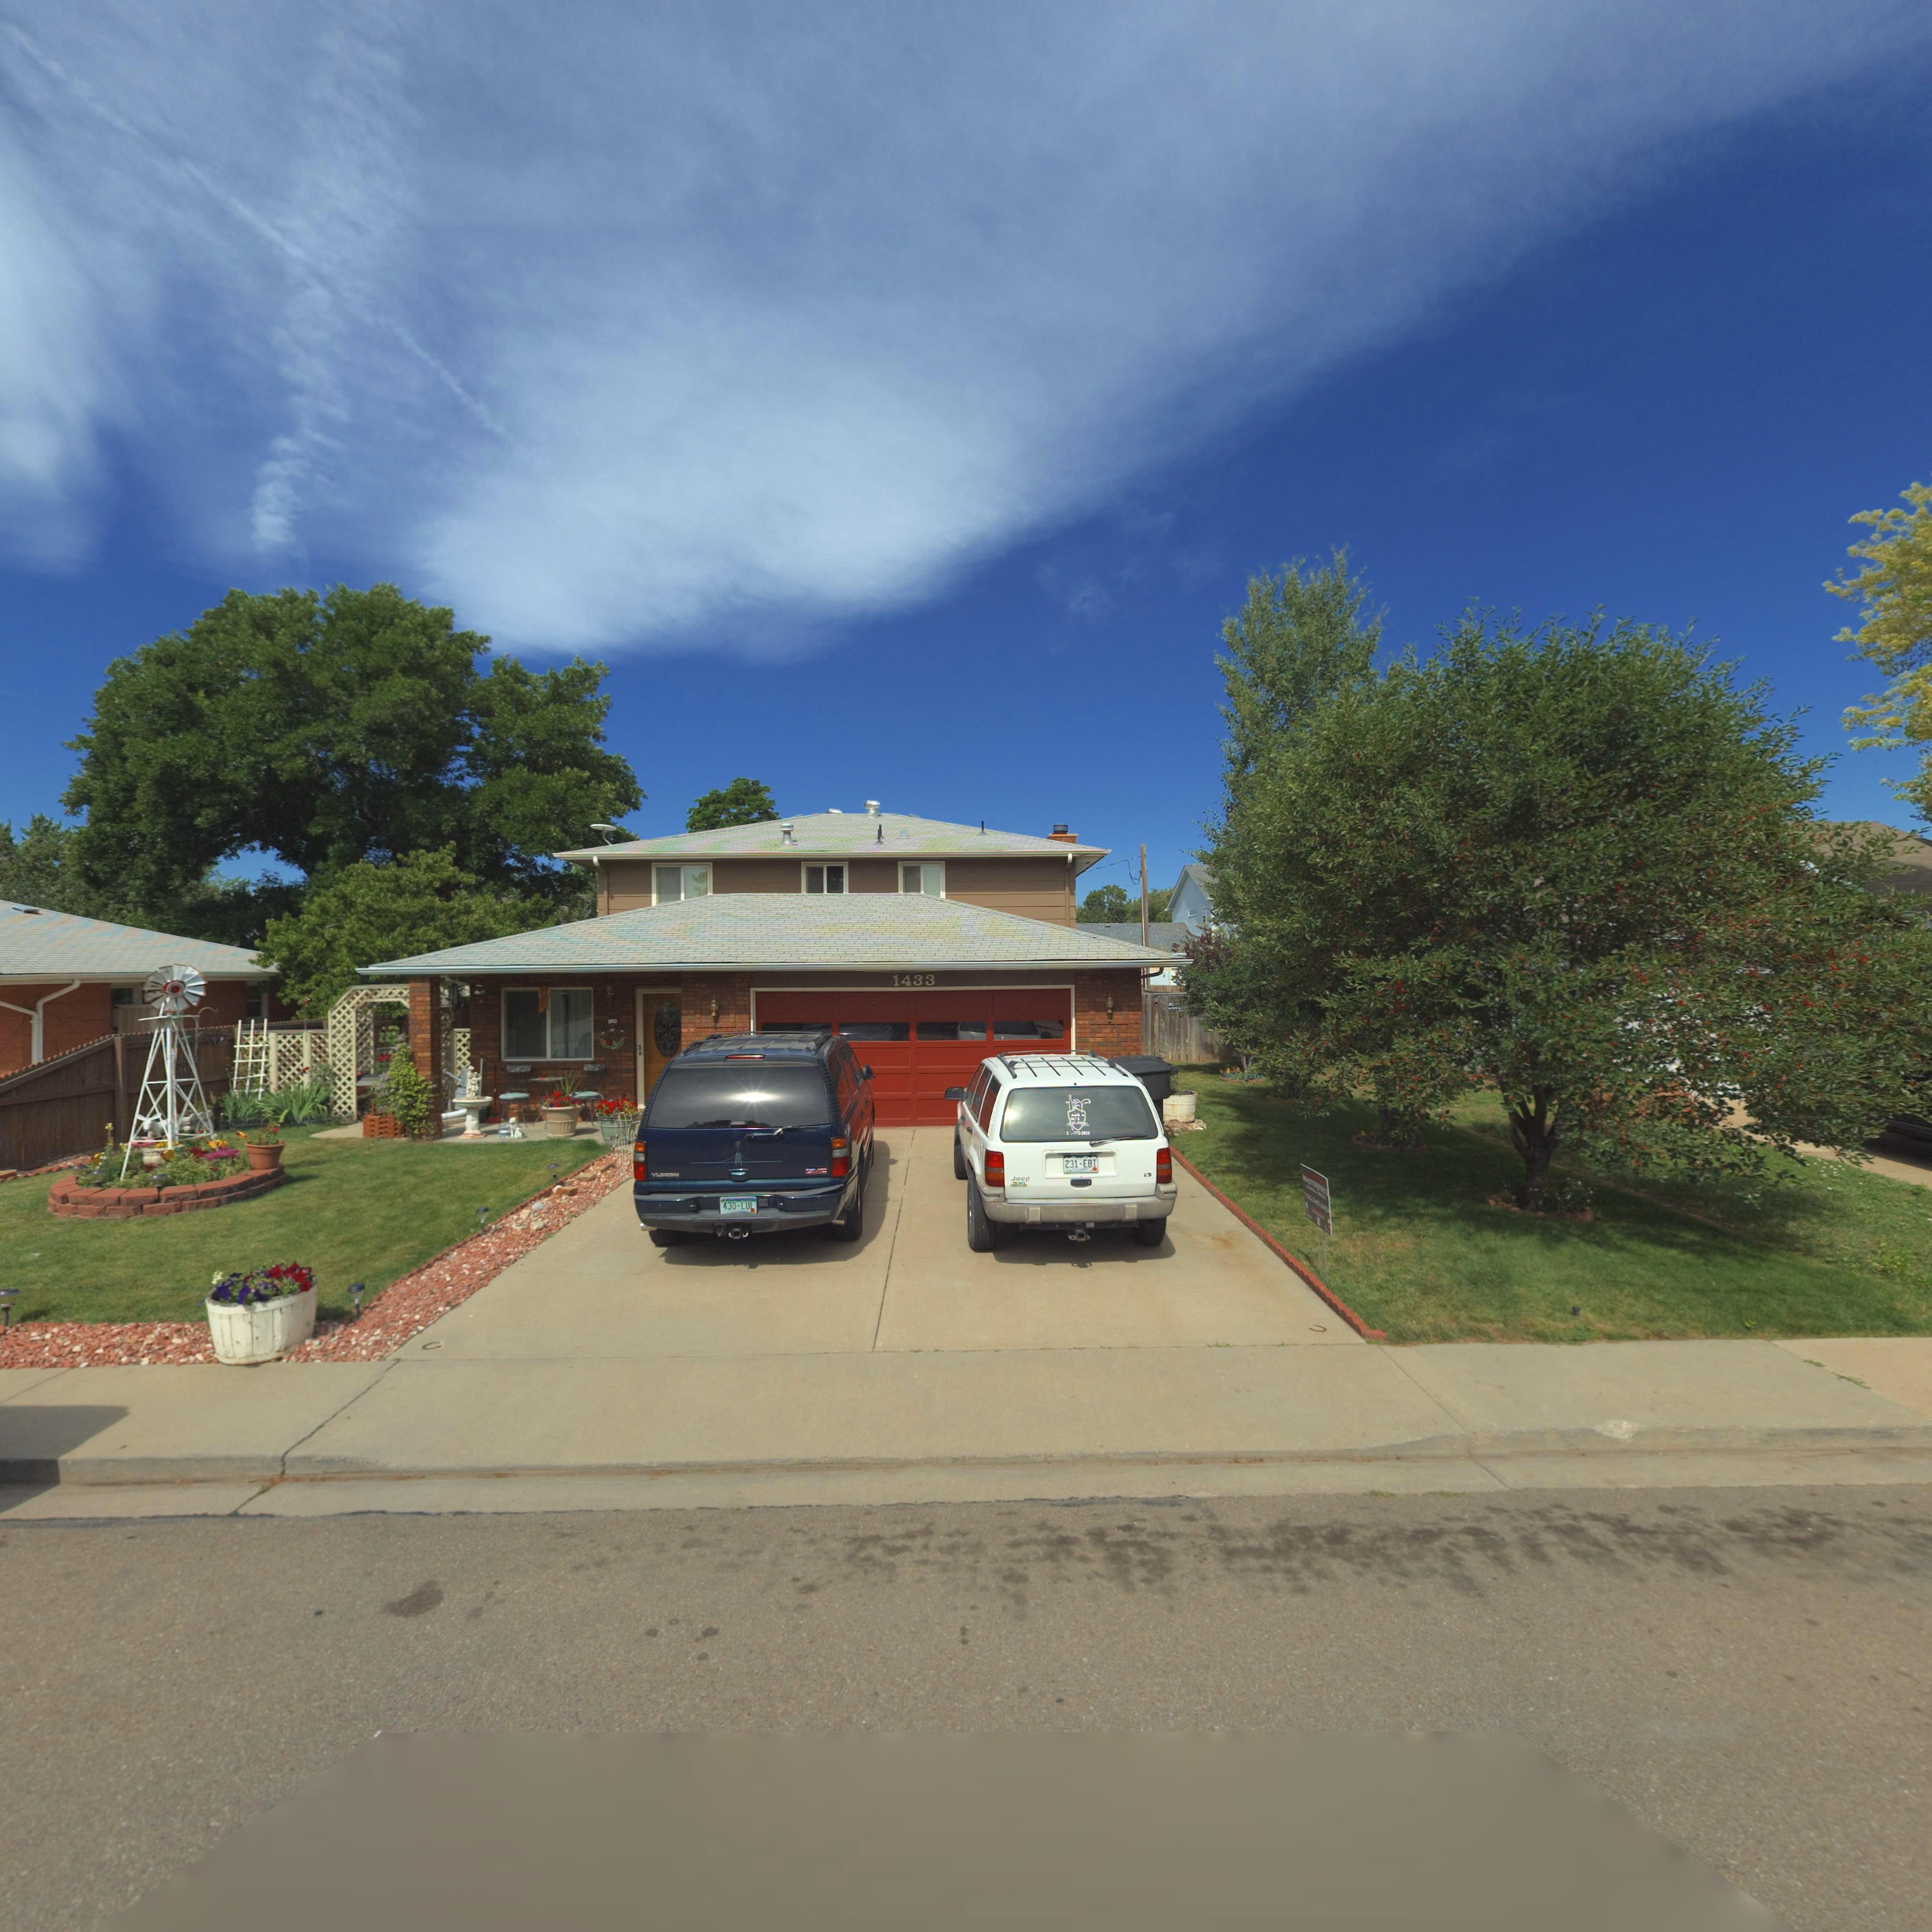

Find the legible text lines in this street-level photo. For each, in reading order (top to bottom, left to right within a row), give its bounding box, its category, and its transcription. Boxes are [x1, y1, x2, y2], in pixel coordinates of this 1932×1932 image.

[892, 974, 936, 986] StreetNumber: 1433